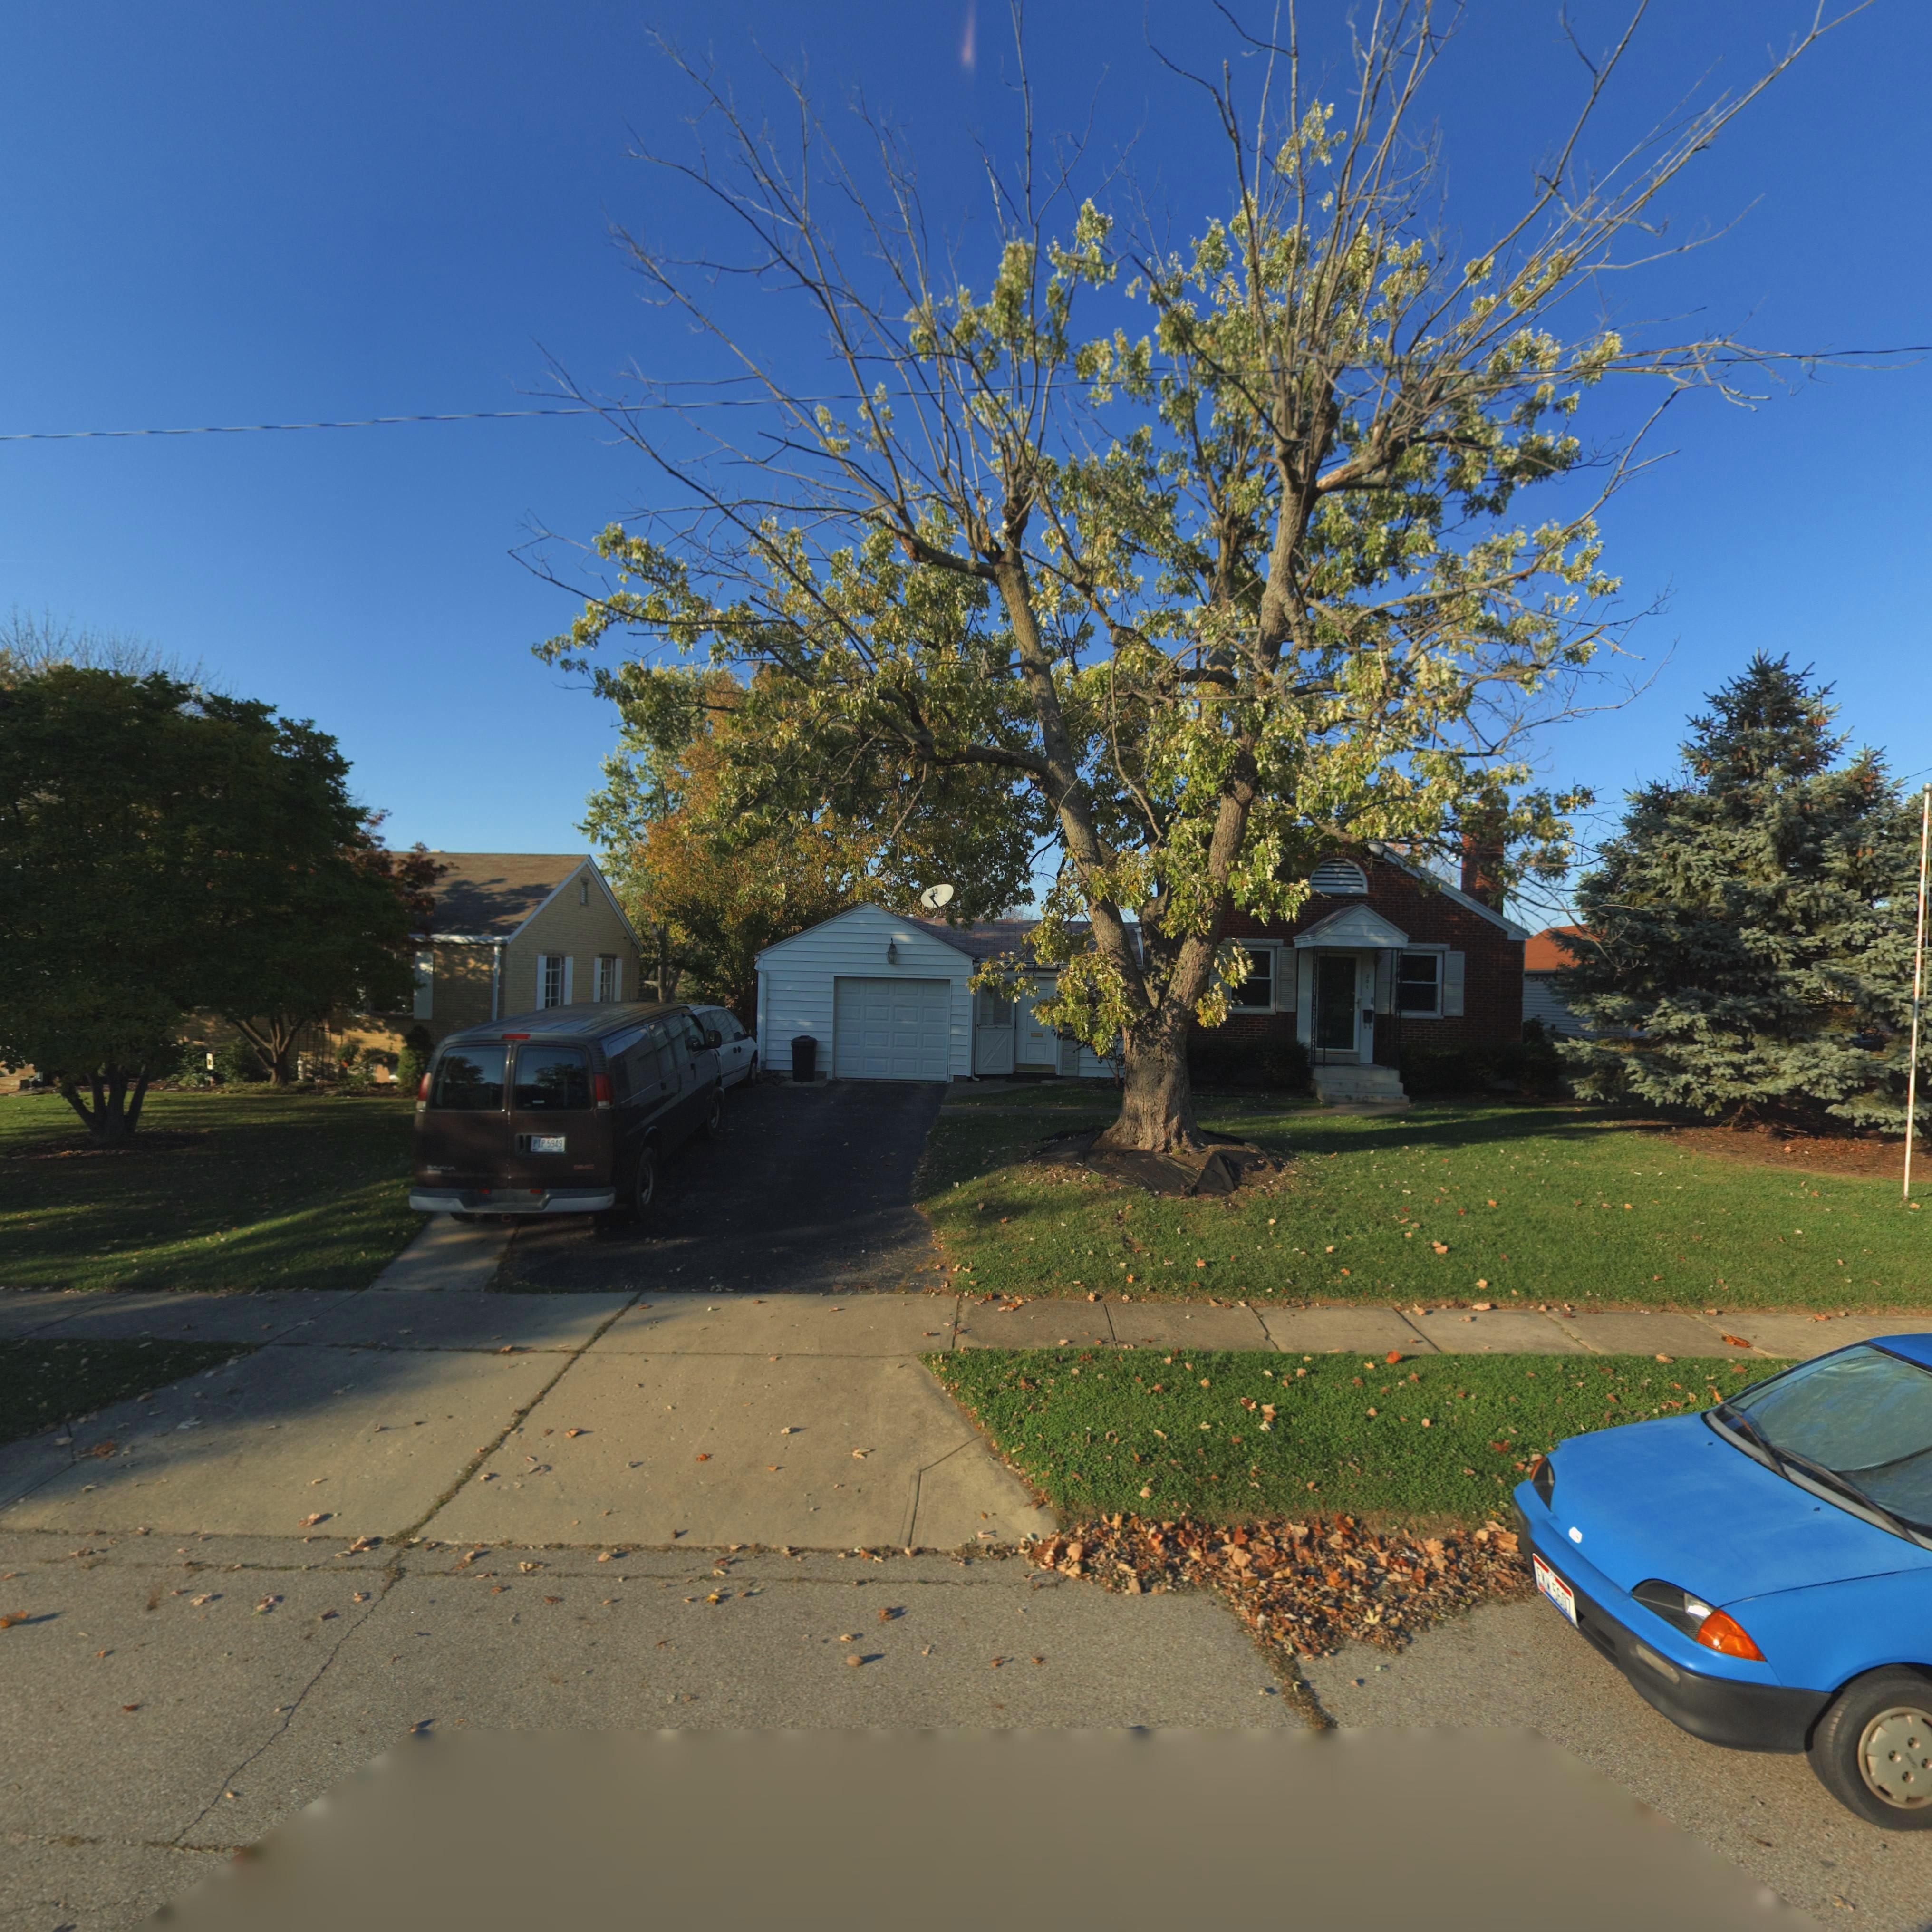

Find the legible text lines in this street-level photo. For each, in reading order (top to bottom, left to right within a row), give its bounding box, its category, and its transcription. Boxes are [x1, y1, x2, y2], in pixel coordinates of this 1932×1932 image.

[1365, 974, 1371, 989] StreetNumber: 201